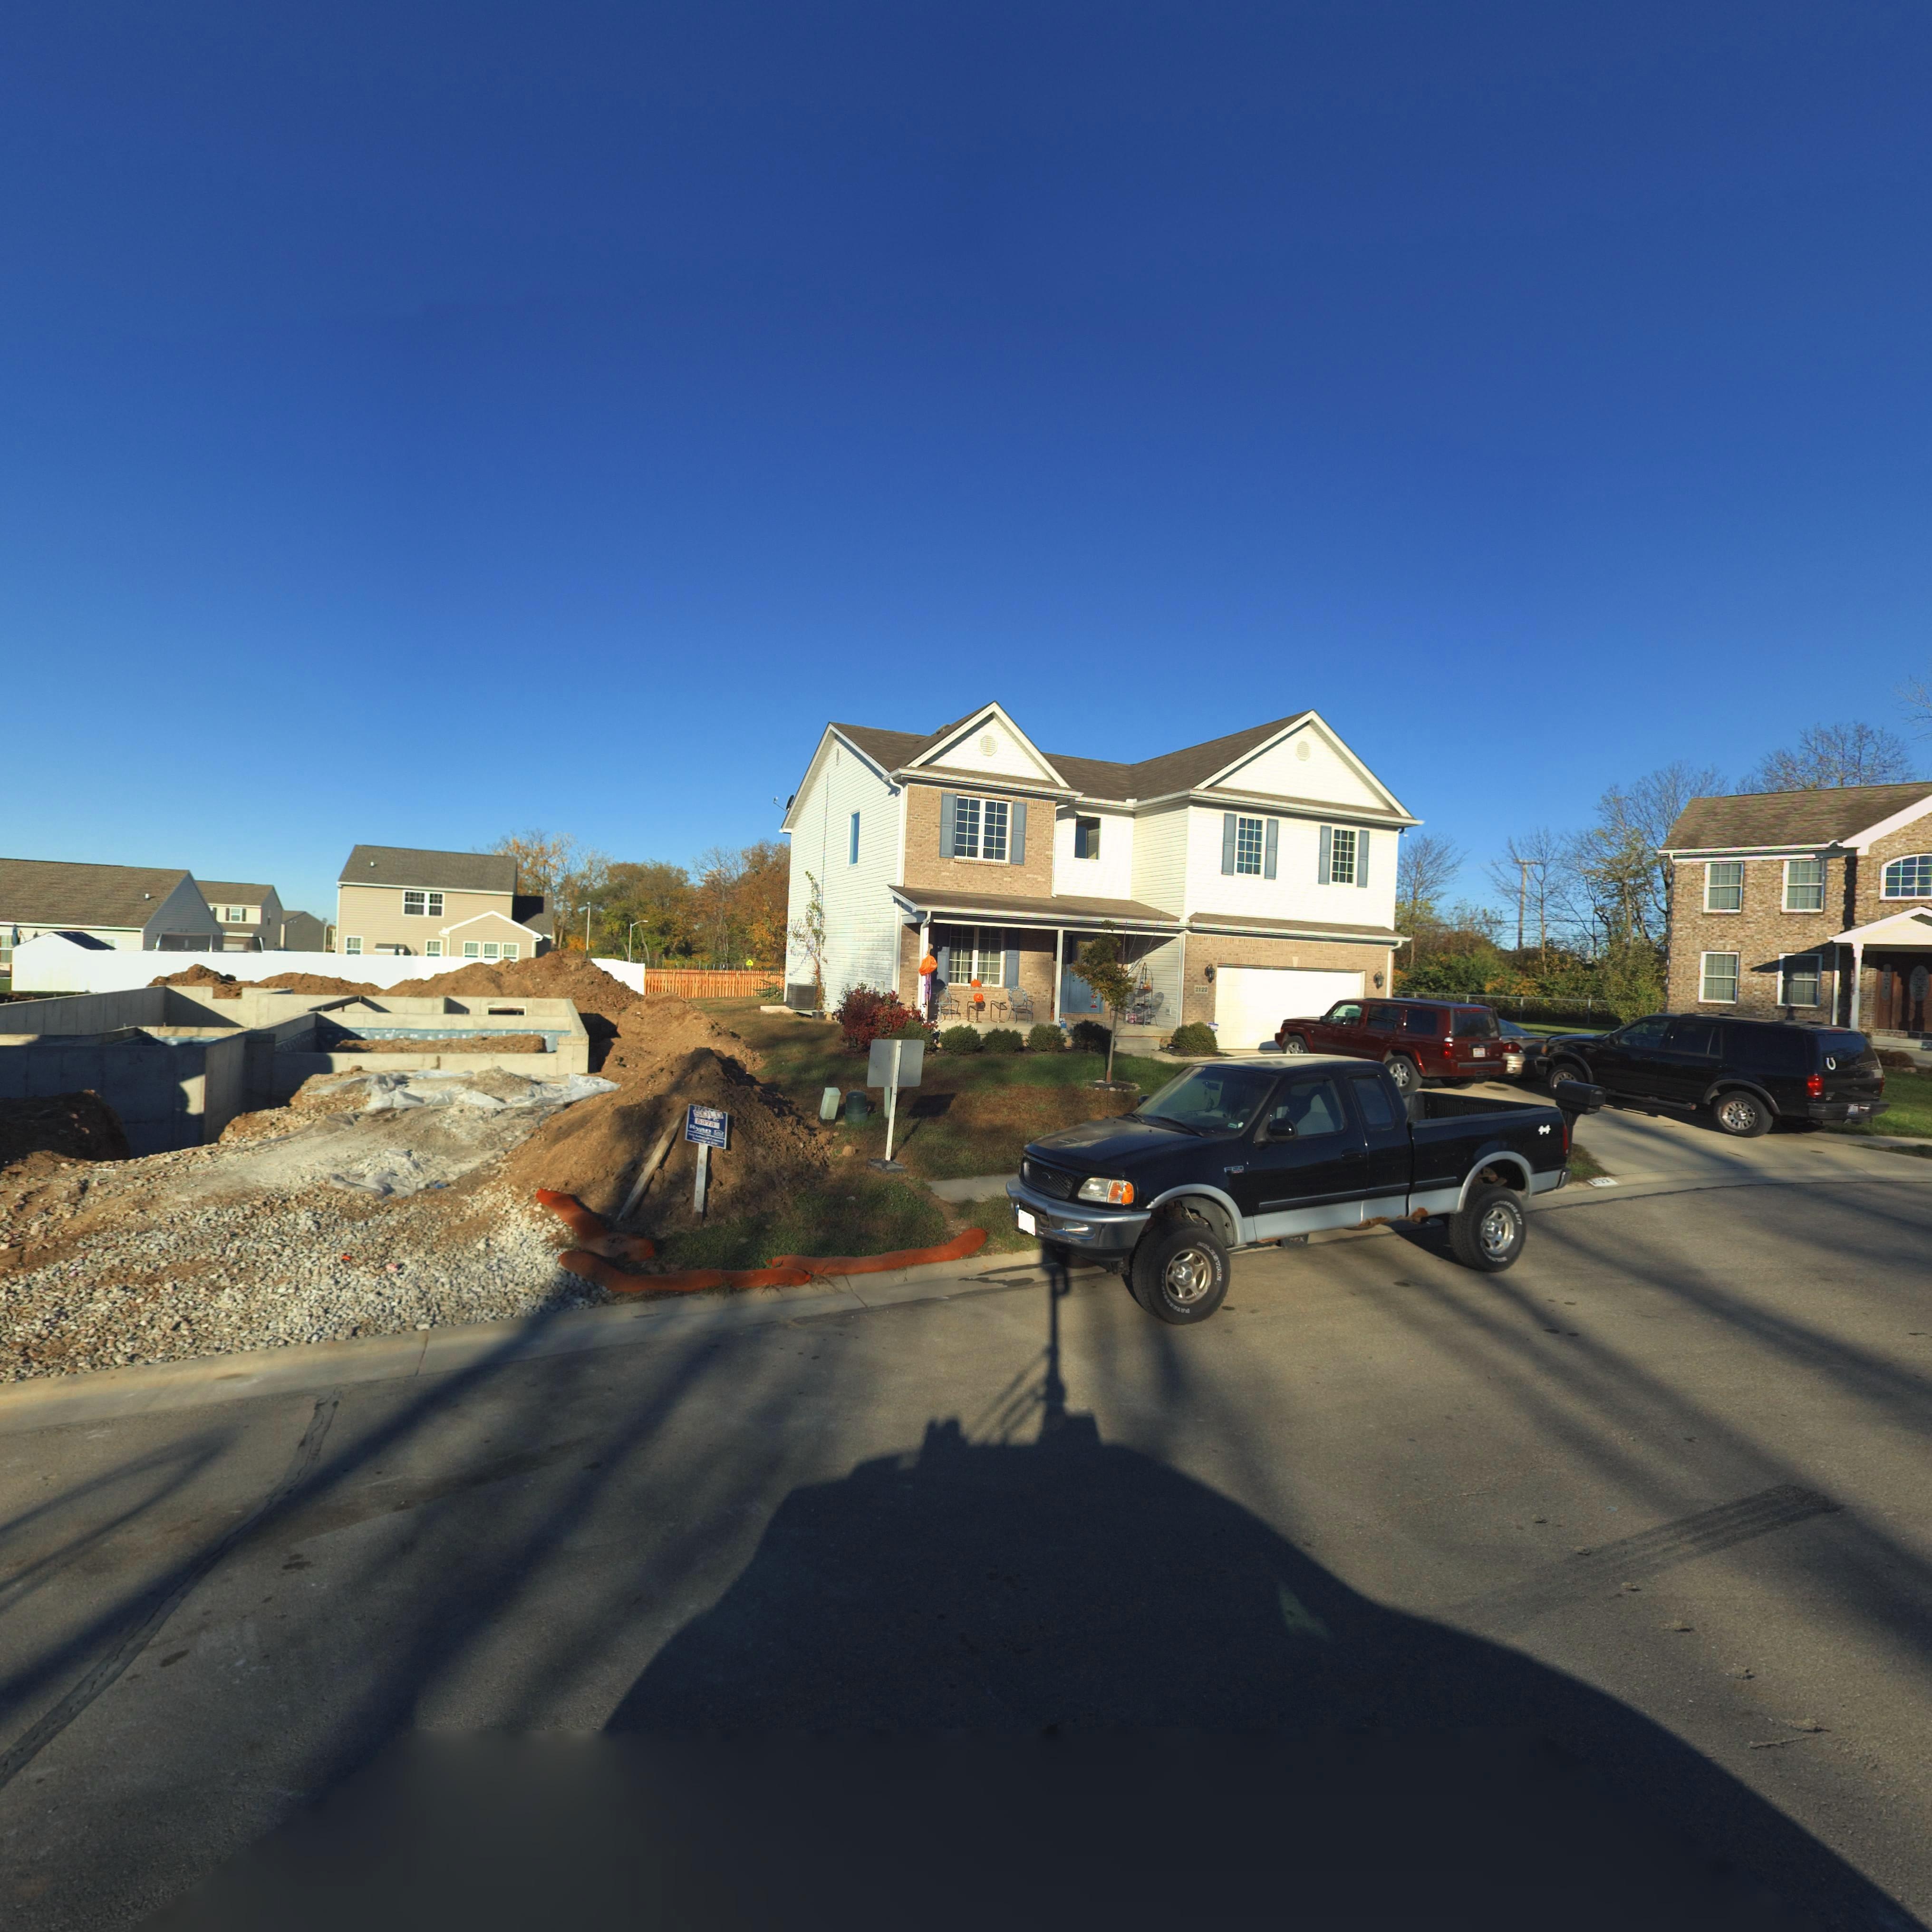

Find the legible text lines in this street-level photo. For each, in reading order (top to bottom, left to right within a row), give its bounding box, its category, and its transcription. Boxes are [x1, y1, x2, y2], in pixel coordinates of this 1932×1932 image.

[1194, 985, 1208, 993] StreetNumber: 2122